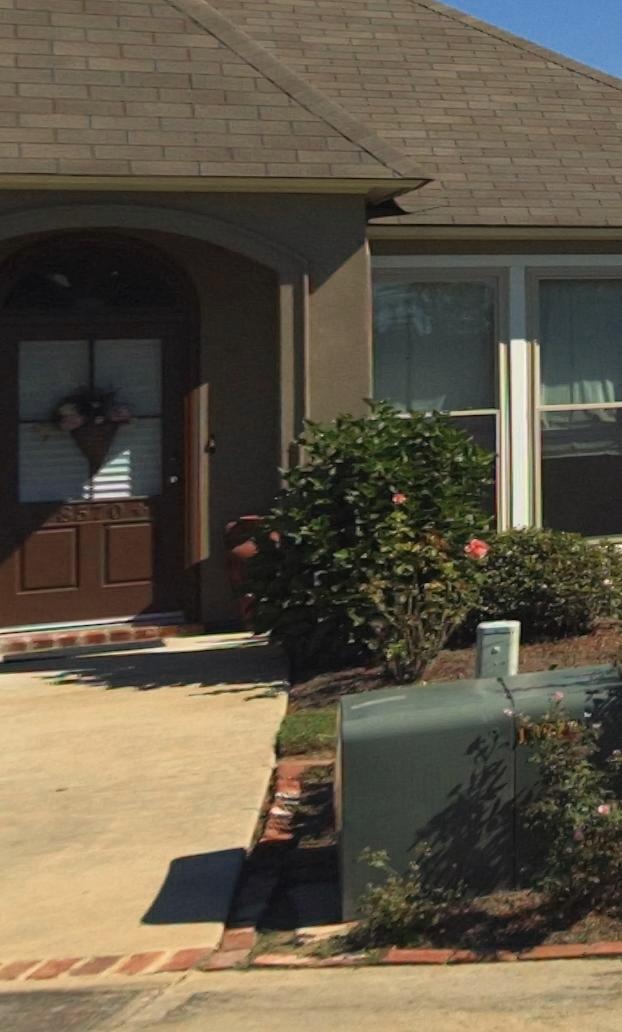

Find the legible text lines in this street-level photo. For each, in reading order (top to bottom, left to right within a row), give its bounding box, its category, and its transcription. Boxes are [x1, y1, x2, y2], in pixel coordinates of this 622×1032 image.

[53, 501, 127, 525] StreetNumber: 8570